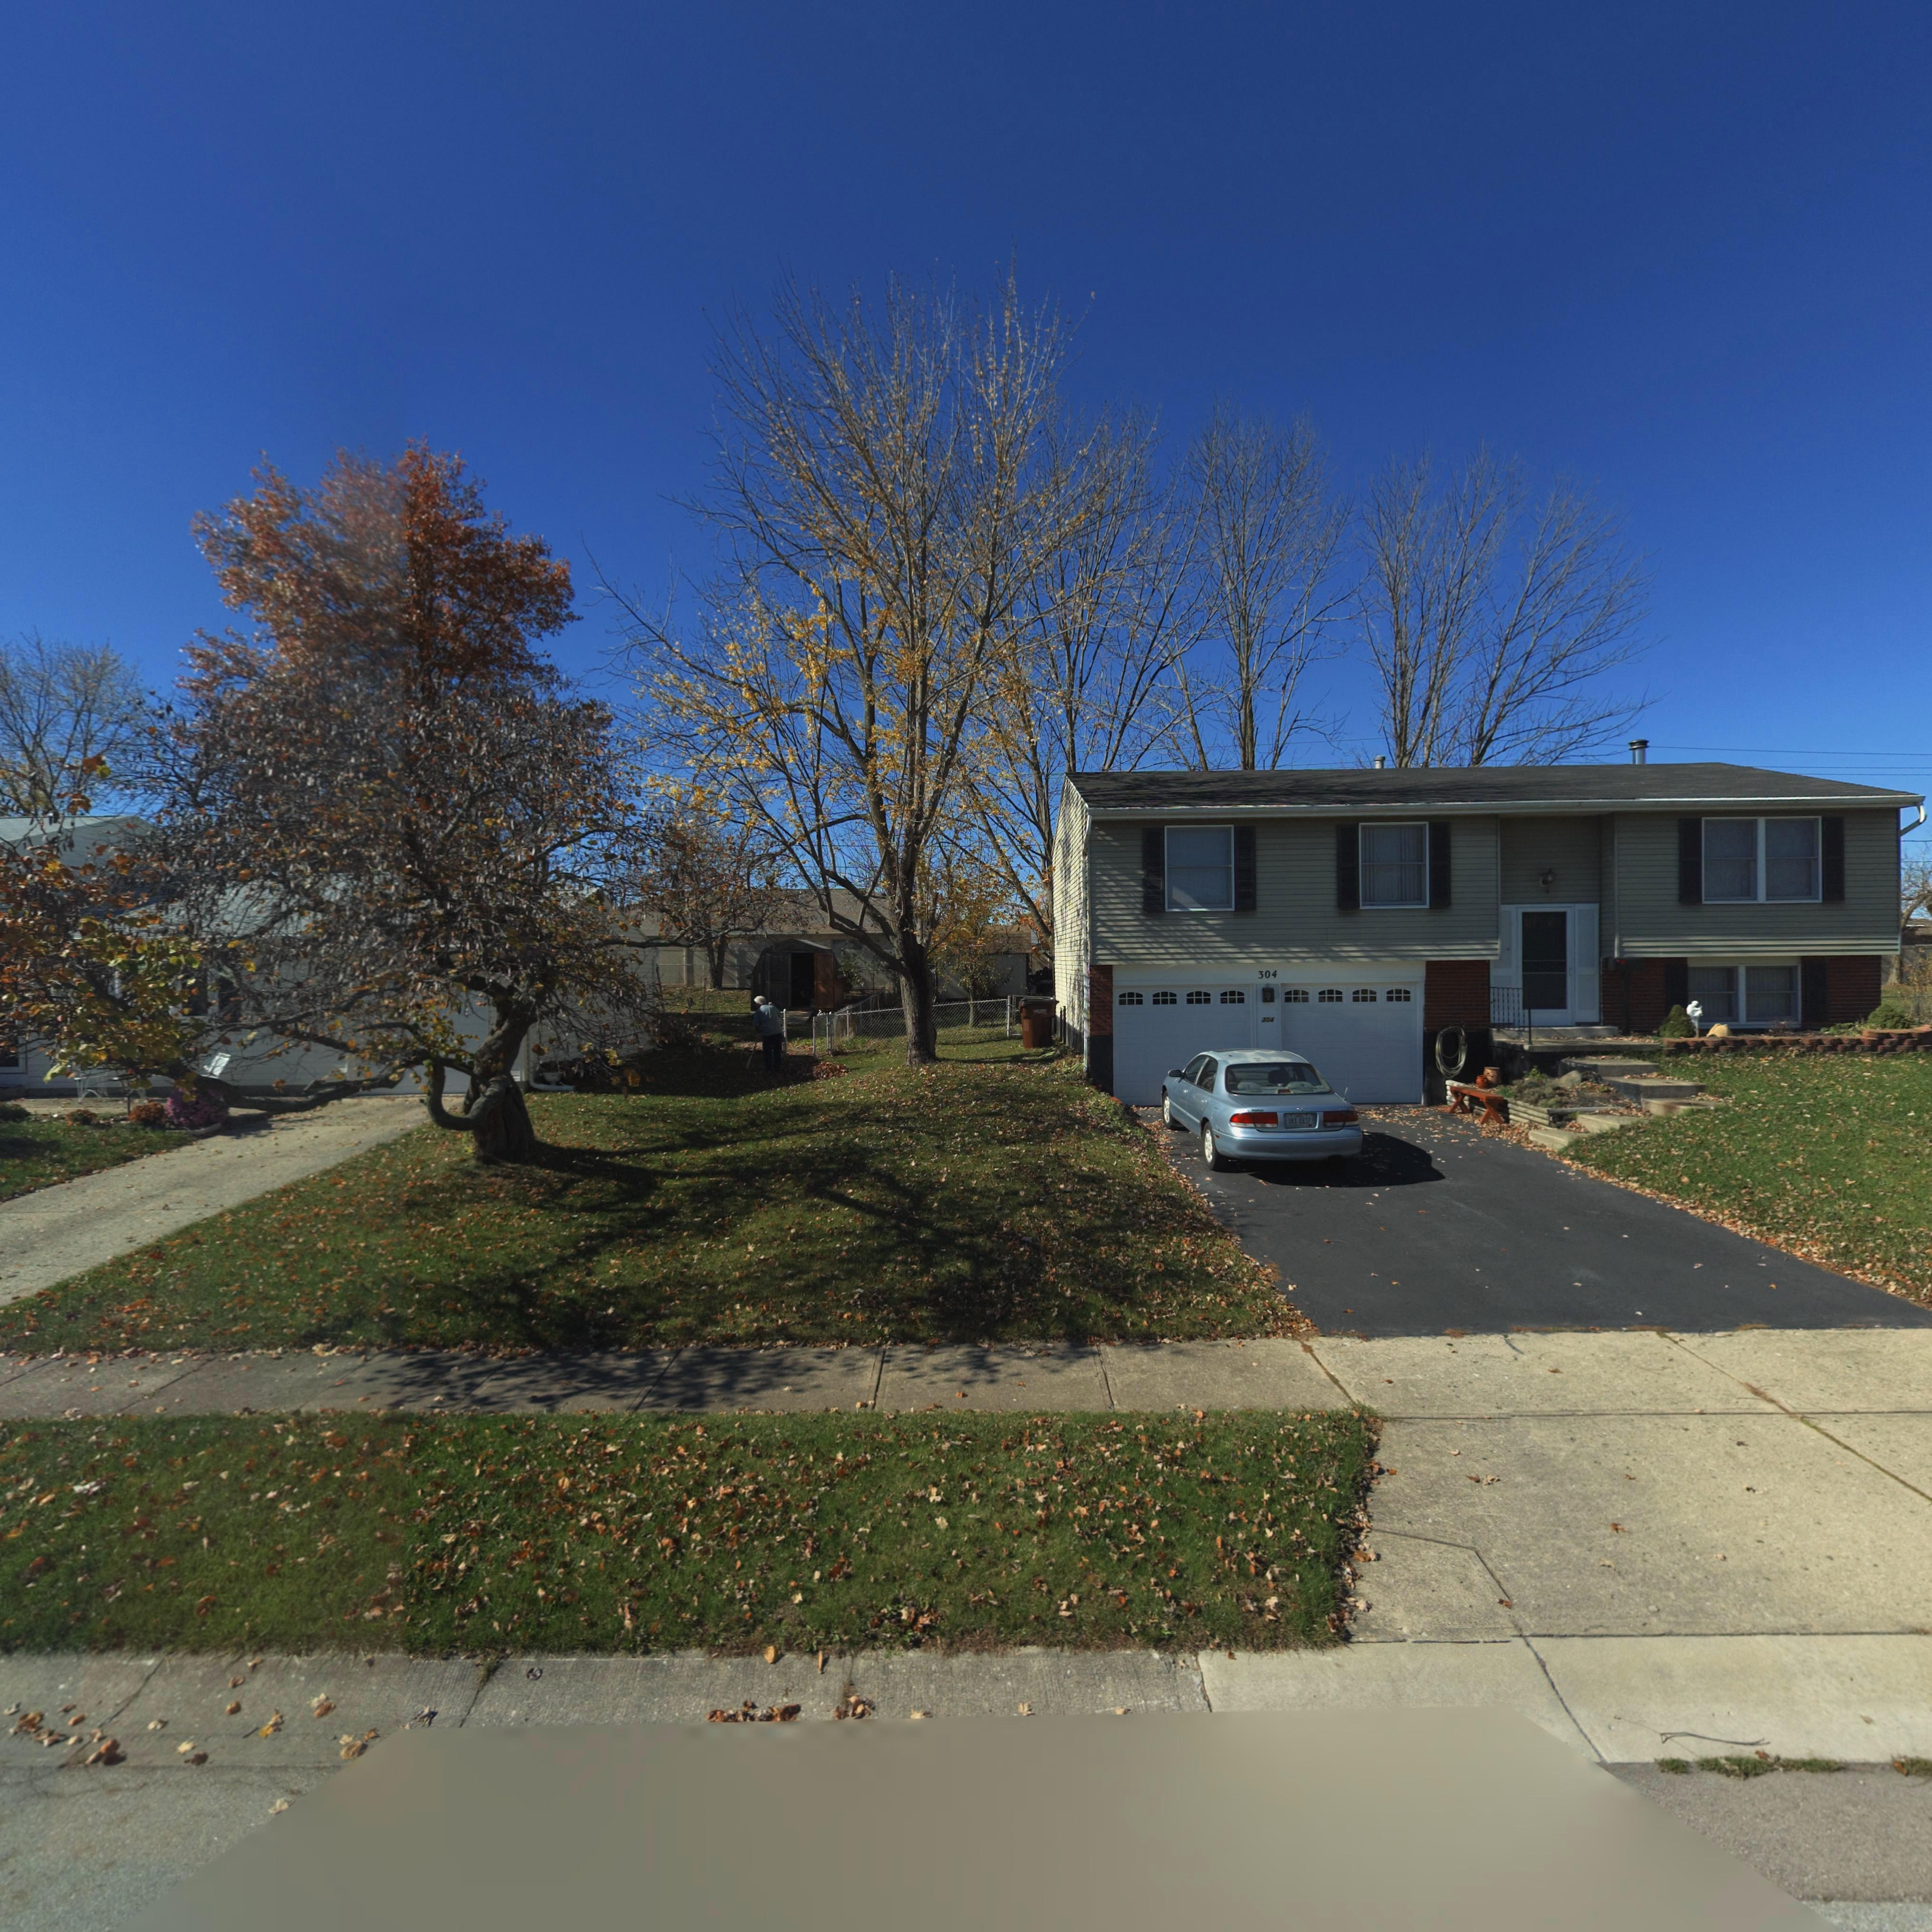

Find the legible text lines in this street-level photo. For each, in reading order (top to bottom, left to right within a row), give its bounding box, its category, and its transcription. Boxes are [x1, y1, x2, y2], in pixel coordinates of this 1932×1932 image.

[1257, 969, 1278, 979] StreetNumber: 304
[1261, 1017, 1275, 1023] StreetNumber: 304